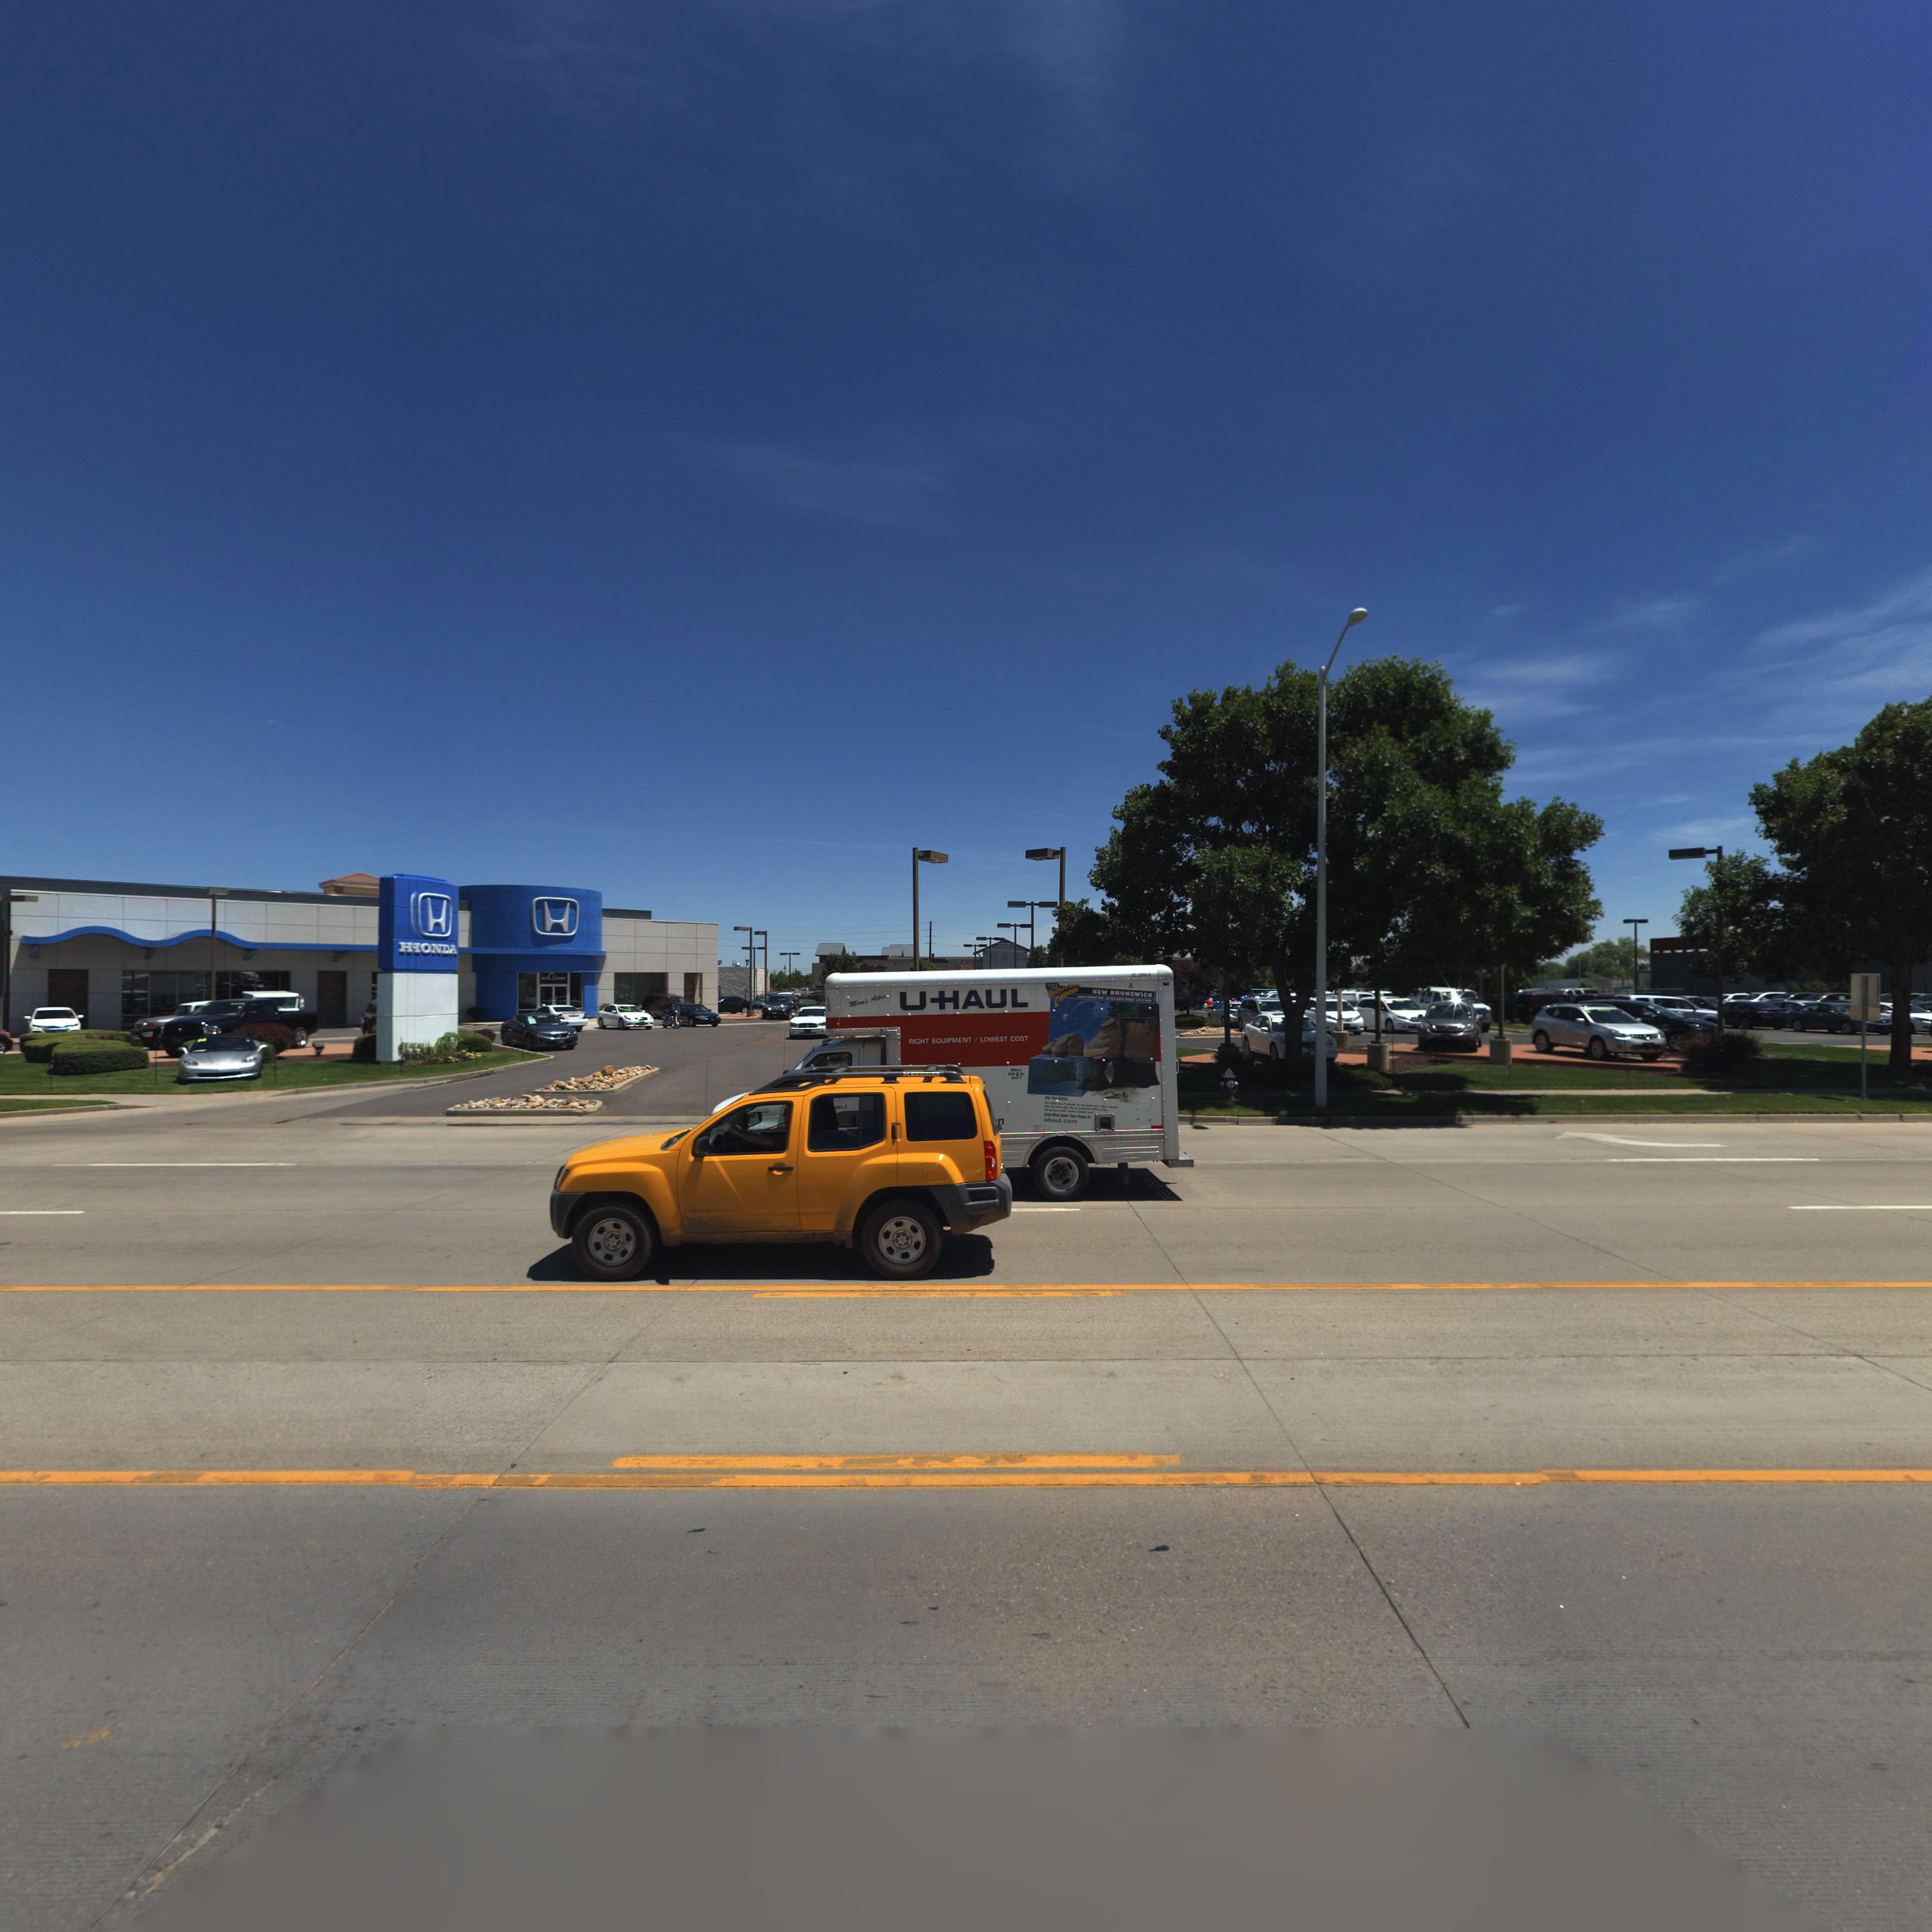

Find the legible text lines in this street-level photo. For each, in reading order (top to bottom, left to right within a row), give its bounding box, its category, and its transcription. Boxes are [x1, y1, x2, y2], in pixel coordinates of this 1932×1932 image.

[397, 940, 459, 956] BusinessName: H*ONDA